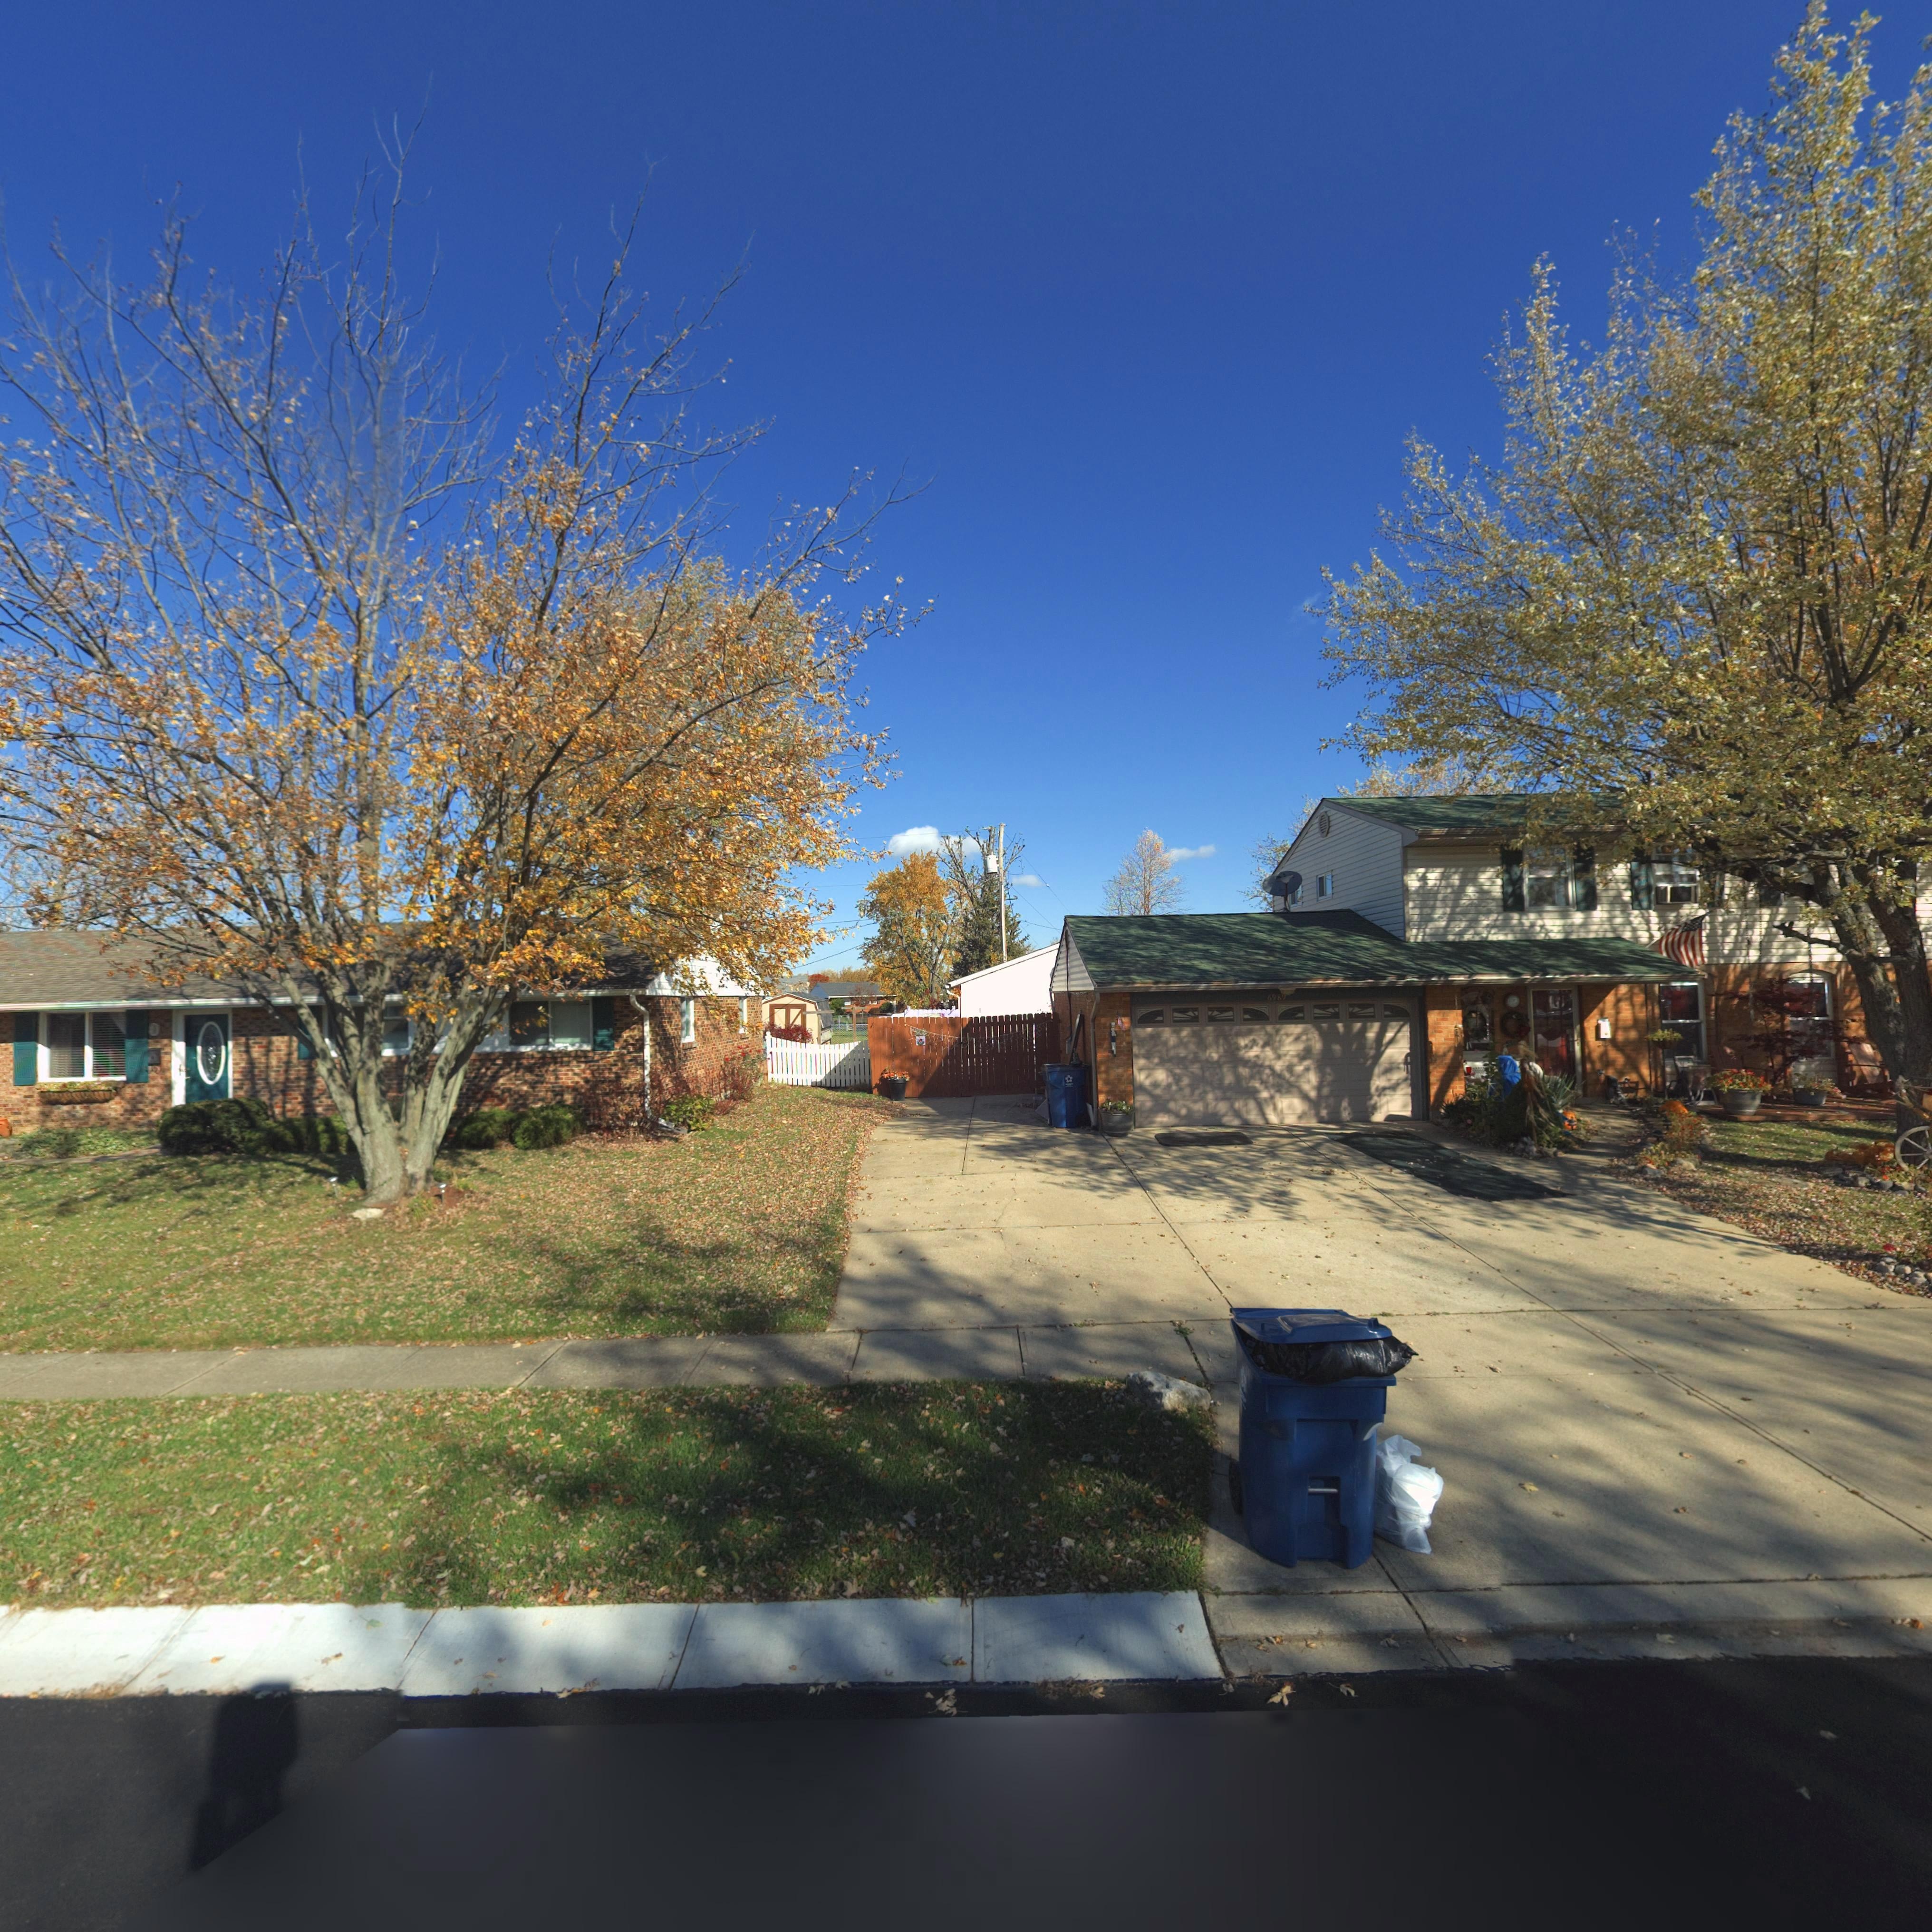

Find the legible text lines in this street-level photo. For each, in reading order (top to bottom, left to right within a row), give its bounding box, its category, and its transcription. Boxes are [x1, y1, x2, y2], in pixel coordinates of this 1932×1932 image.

[1267, 993, 1287, 1001] StreetNumber: 6989